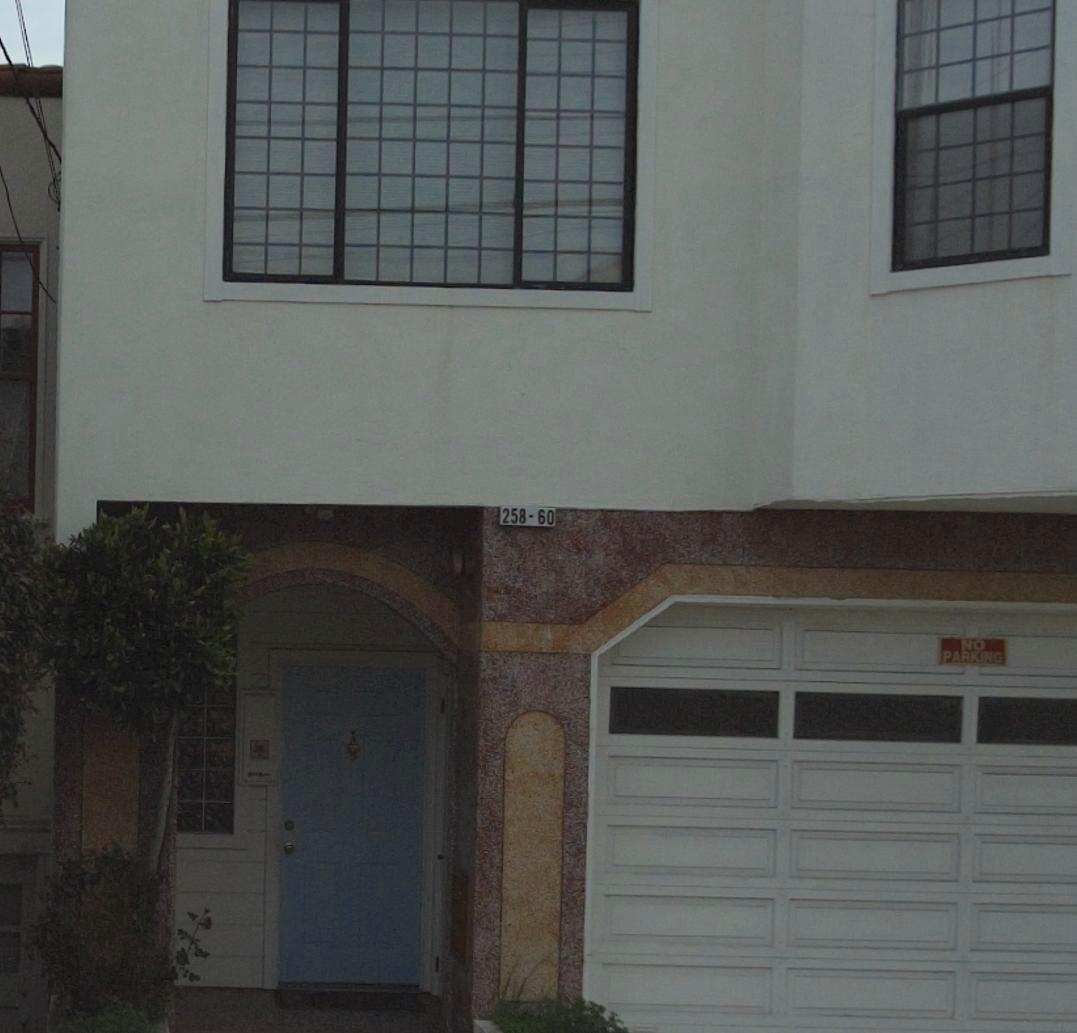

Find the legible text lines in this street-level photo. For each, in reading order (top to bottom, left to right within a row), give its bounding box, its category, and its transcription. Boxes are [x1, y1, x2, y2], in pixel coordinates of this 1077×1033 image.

[501, 507, 556, 525] StreetNumber: 258-60
[959, 636, 987, 652] None: NO
[942, 649, 1005, 664] None: PARKING